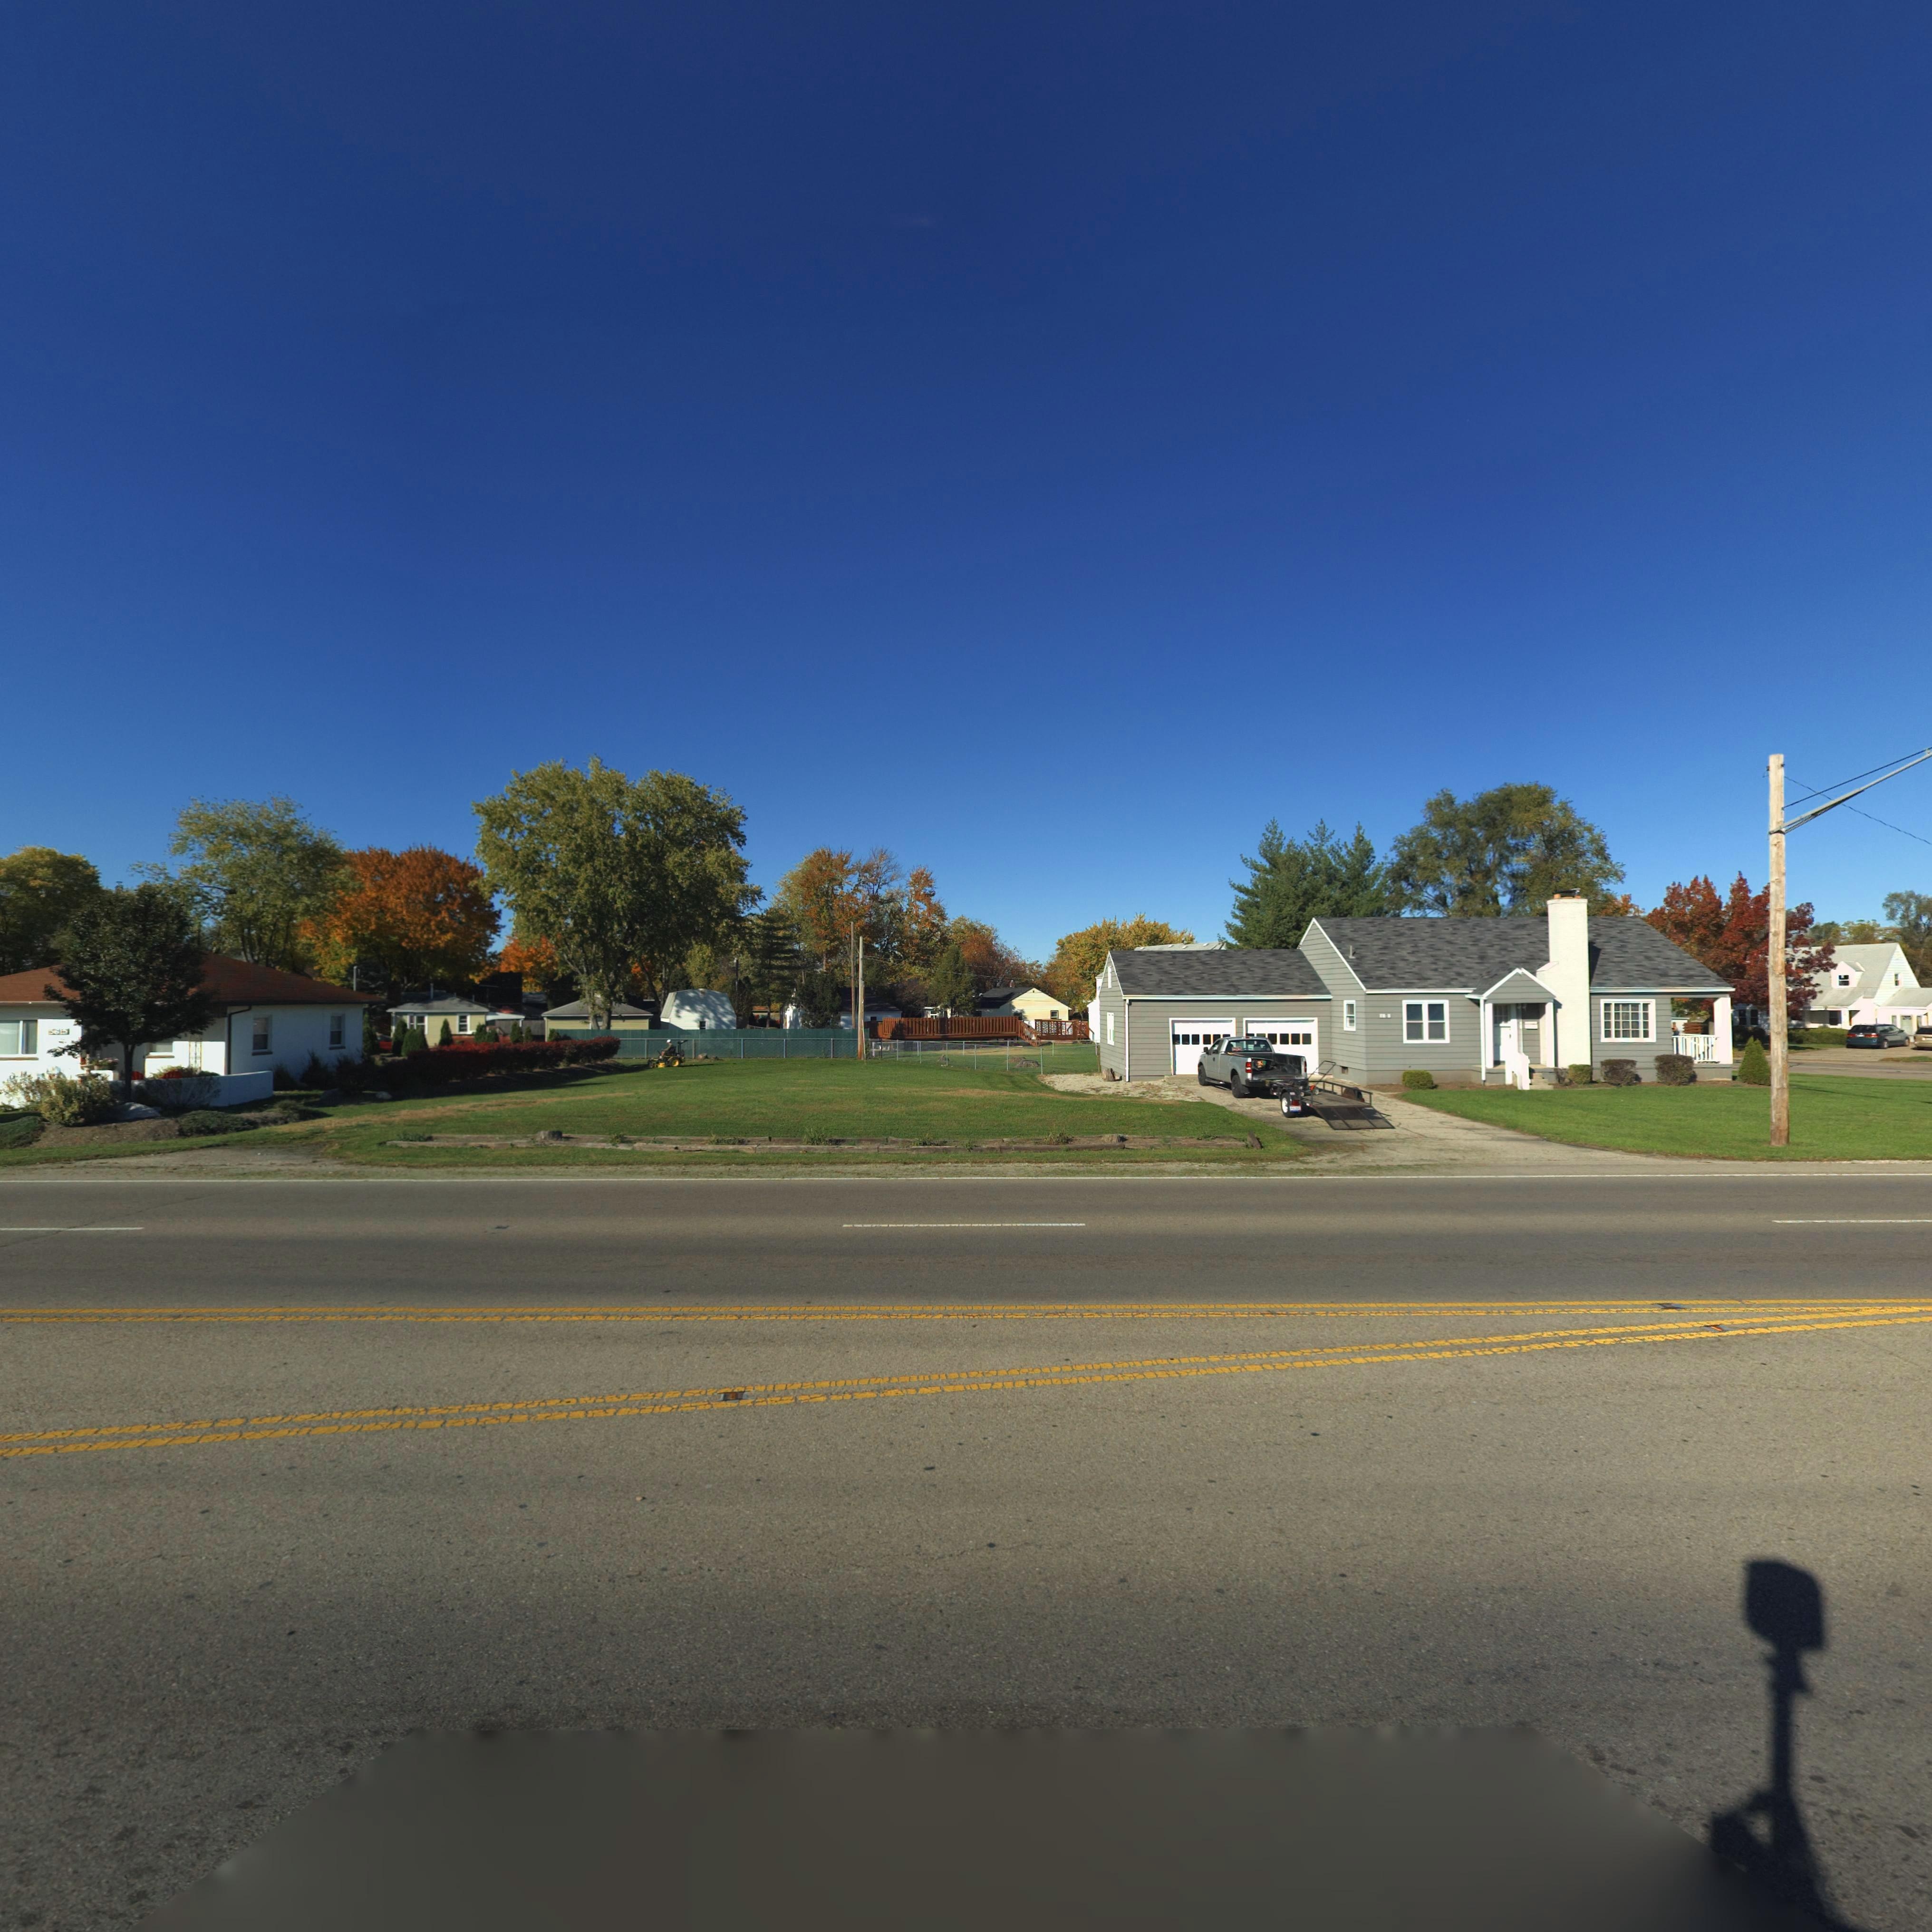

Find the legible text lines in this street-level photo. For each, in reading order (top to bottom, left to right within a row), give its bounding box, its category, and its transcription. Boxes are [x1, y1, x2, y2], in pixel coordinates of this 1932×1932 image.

[1381, 1014, 1388, 1018] StreetNumber: 1*
[48, 1028, 68, 1034] StreetNumber: 5615